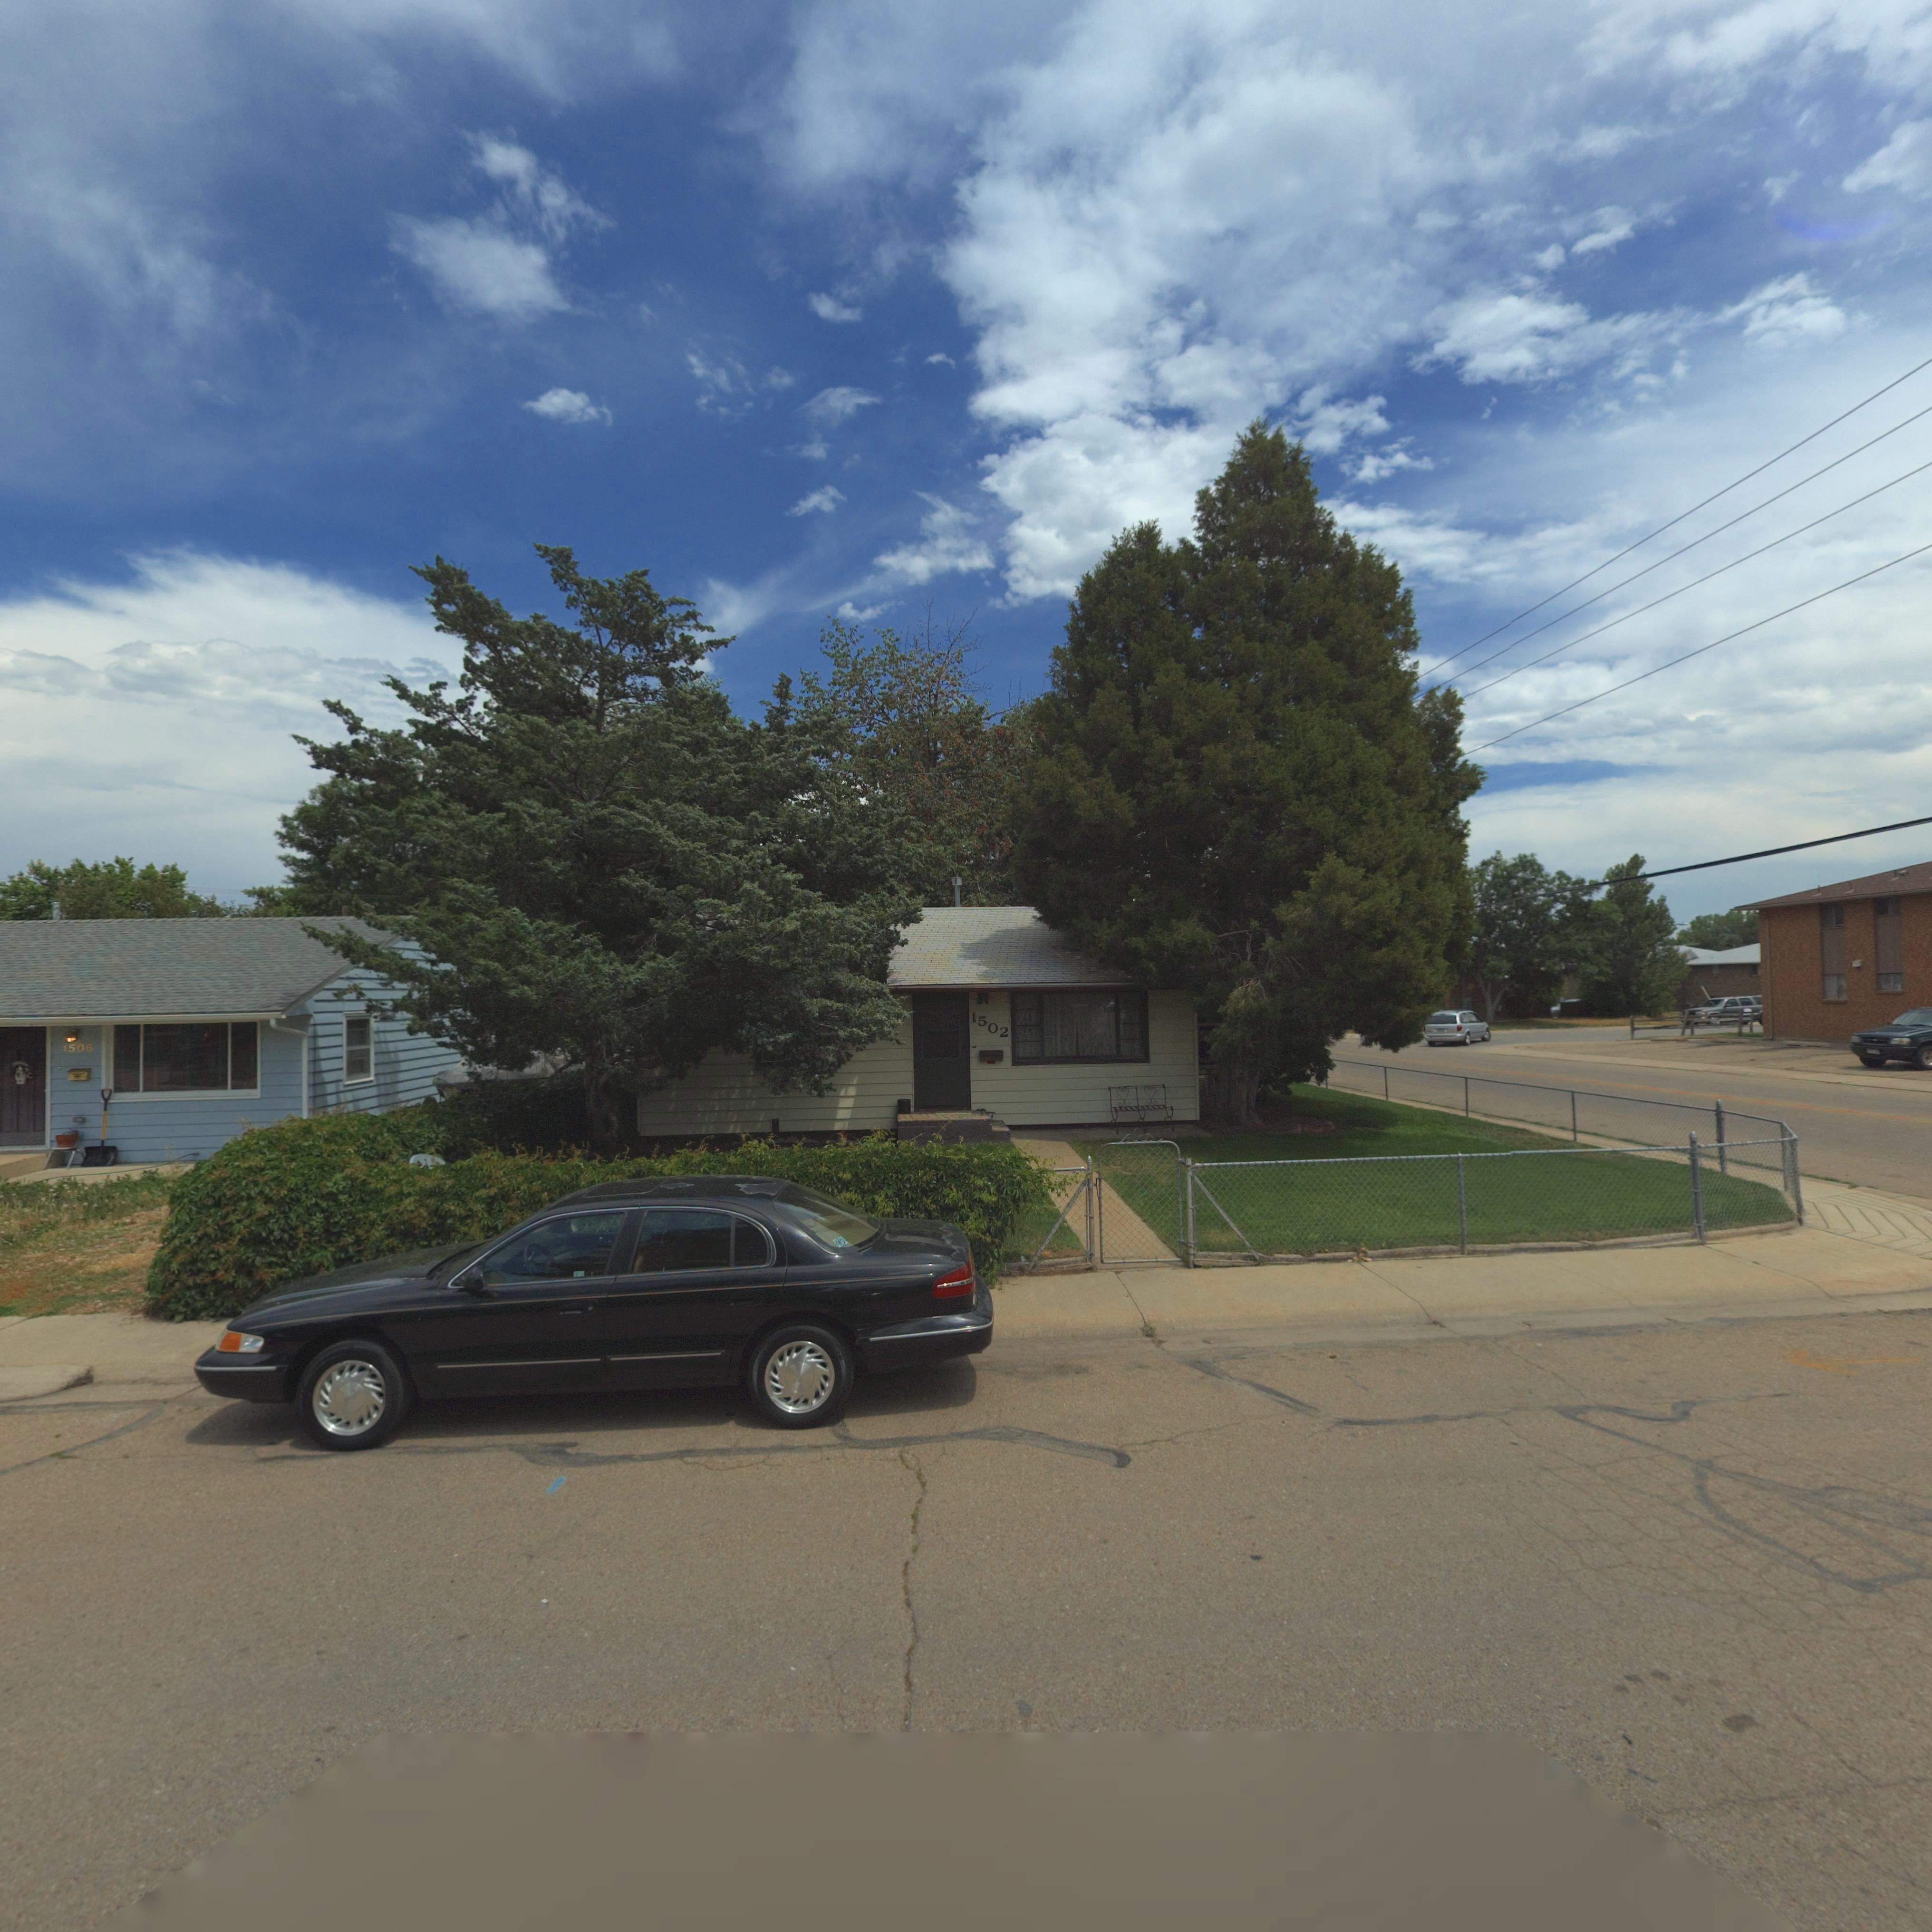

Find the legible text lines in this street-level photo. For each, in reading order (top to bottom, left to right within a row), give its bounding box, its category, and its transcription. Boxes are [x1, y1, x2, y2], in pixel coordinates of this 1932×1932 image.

[971, 1011, 1009, 1039] StreetNumber: 1502
[63, 1043, 94, 1052] StreetNumber: 1506